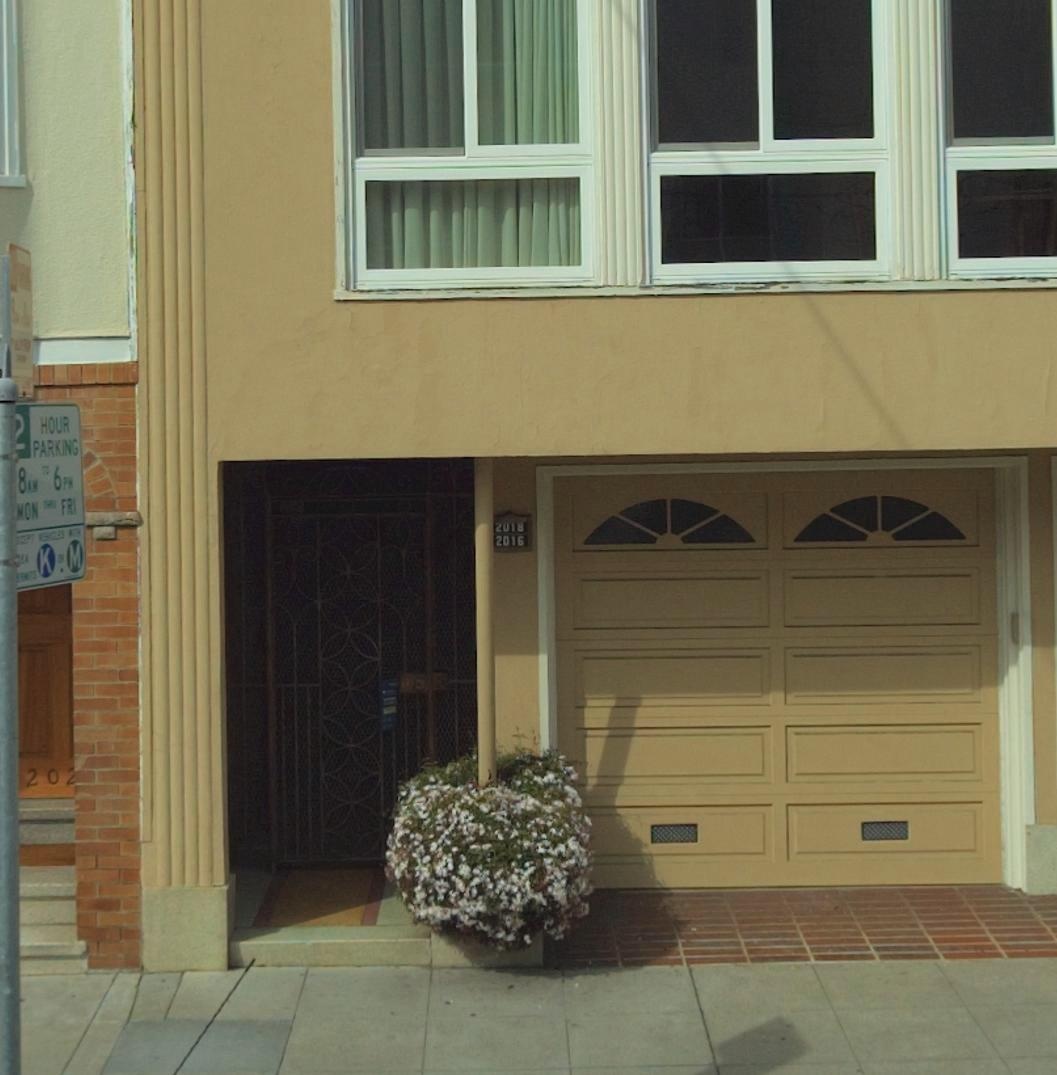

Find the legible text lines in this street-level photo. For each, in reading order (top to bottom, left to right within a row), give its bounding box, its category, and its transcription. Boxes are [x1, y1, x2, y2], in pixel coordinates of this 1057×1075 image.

[37, 413, 72, 437] None: HOUR
[31, 436, 81, 460] None: PARKING
[16, 461, 77, 498] None: 8 AM TO 6 PM
[15, 495, 79, 525] None: MON **** FRI
[38, 545, 55, 577] None: K
[67, 540, 84, 572] None: M
[493, 520, 526, 535] StreetNumber: 2018
[493, 534, 526, 548] StreetNumber: 2016